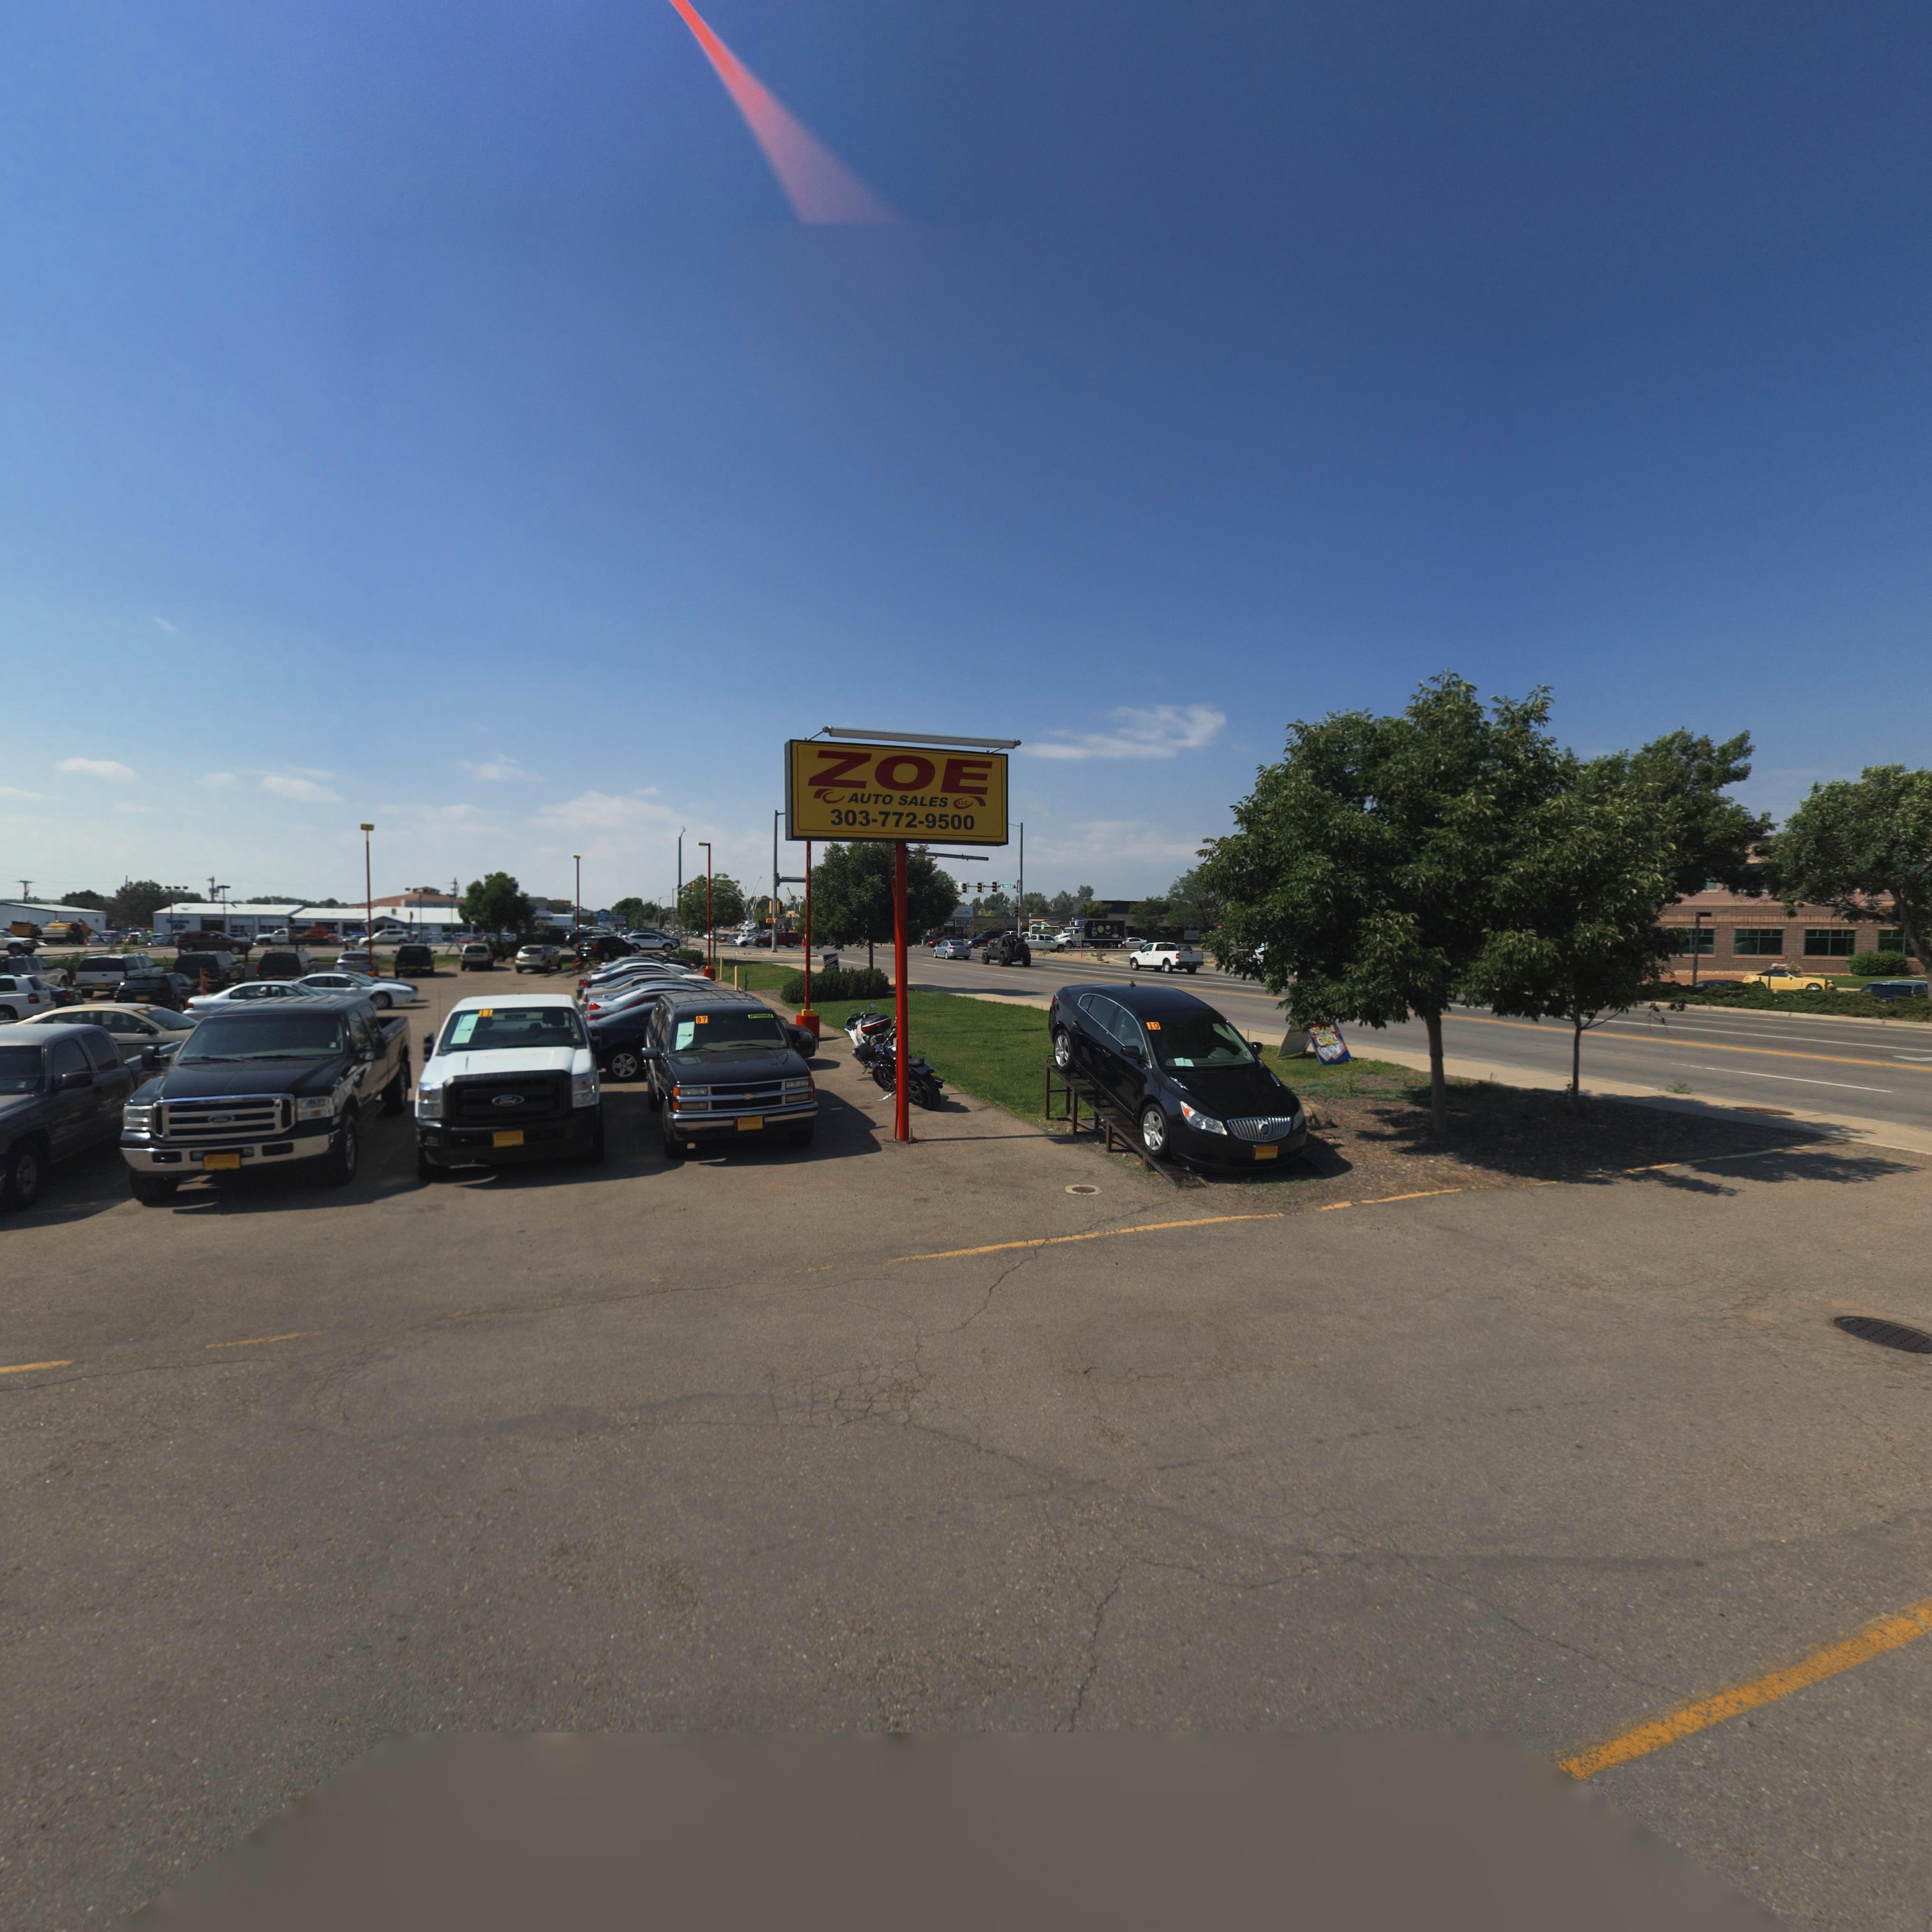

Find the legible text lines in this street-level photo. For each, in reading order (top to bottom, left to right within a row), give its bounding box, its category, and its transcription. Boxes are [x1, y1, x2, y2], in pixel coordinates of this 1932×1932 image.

[805, 748, 994, 796] BusinessName: ZOE
[847, 792, 948, 808] BusinessName: AUTO SALES